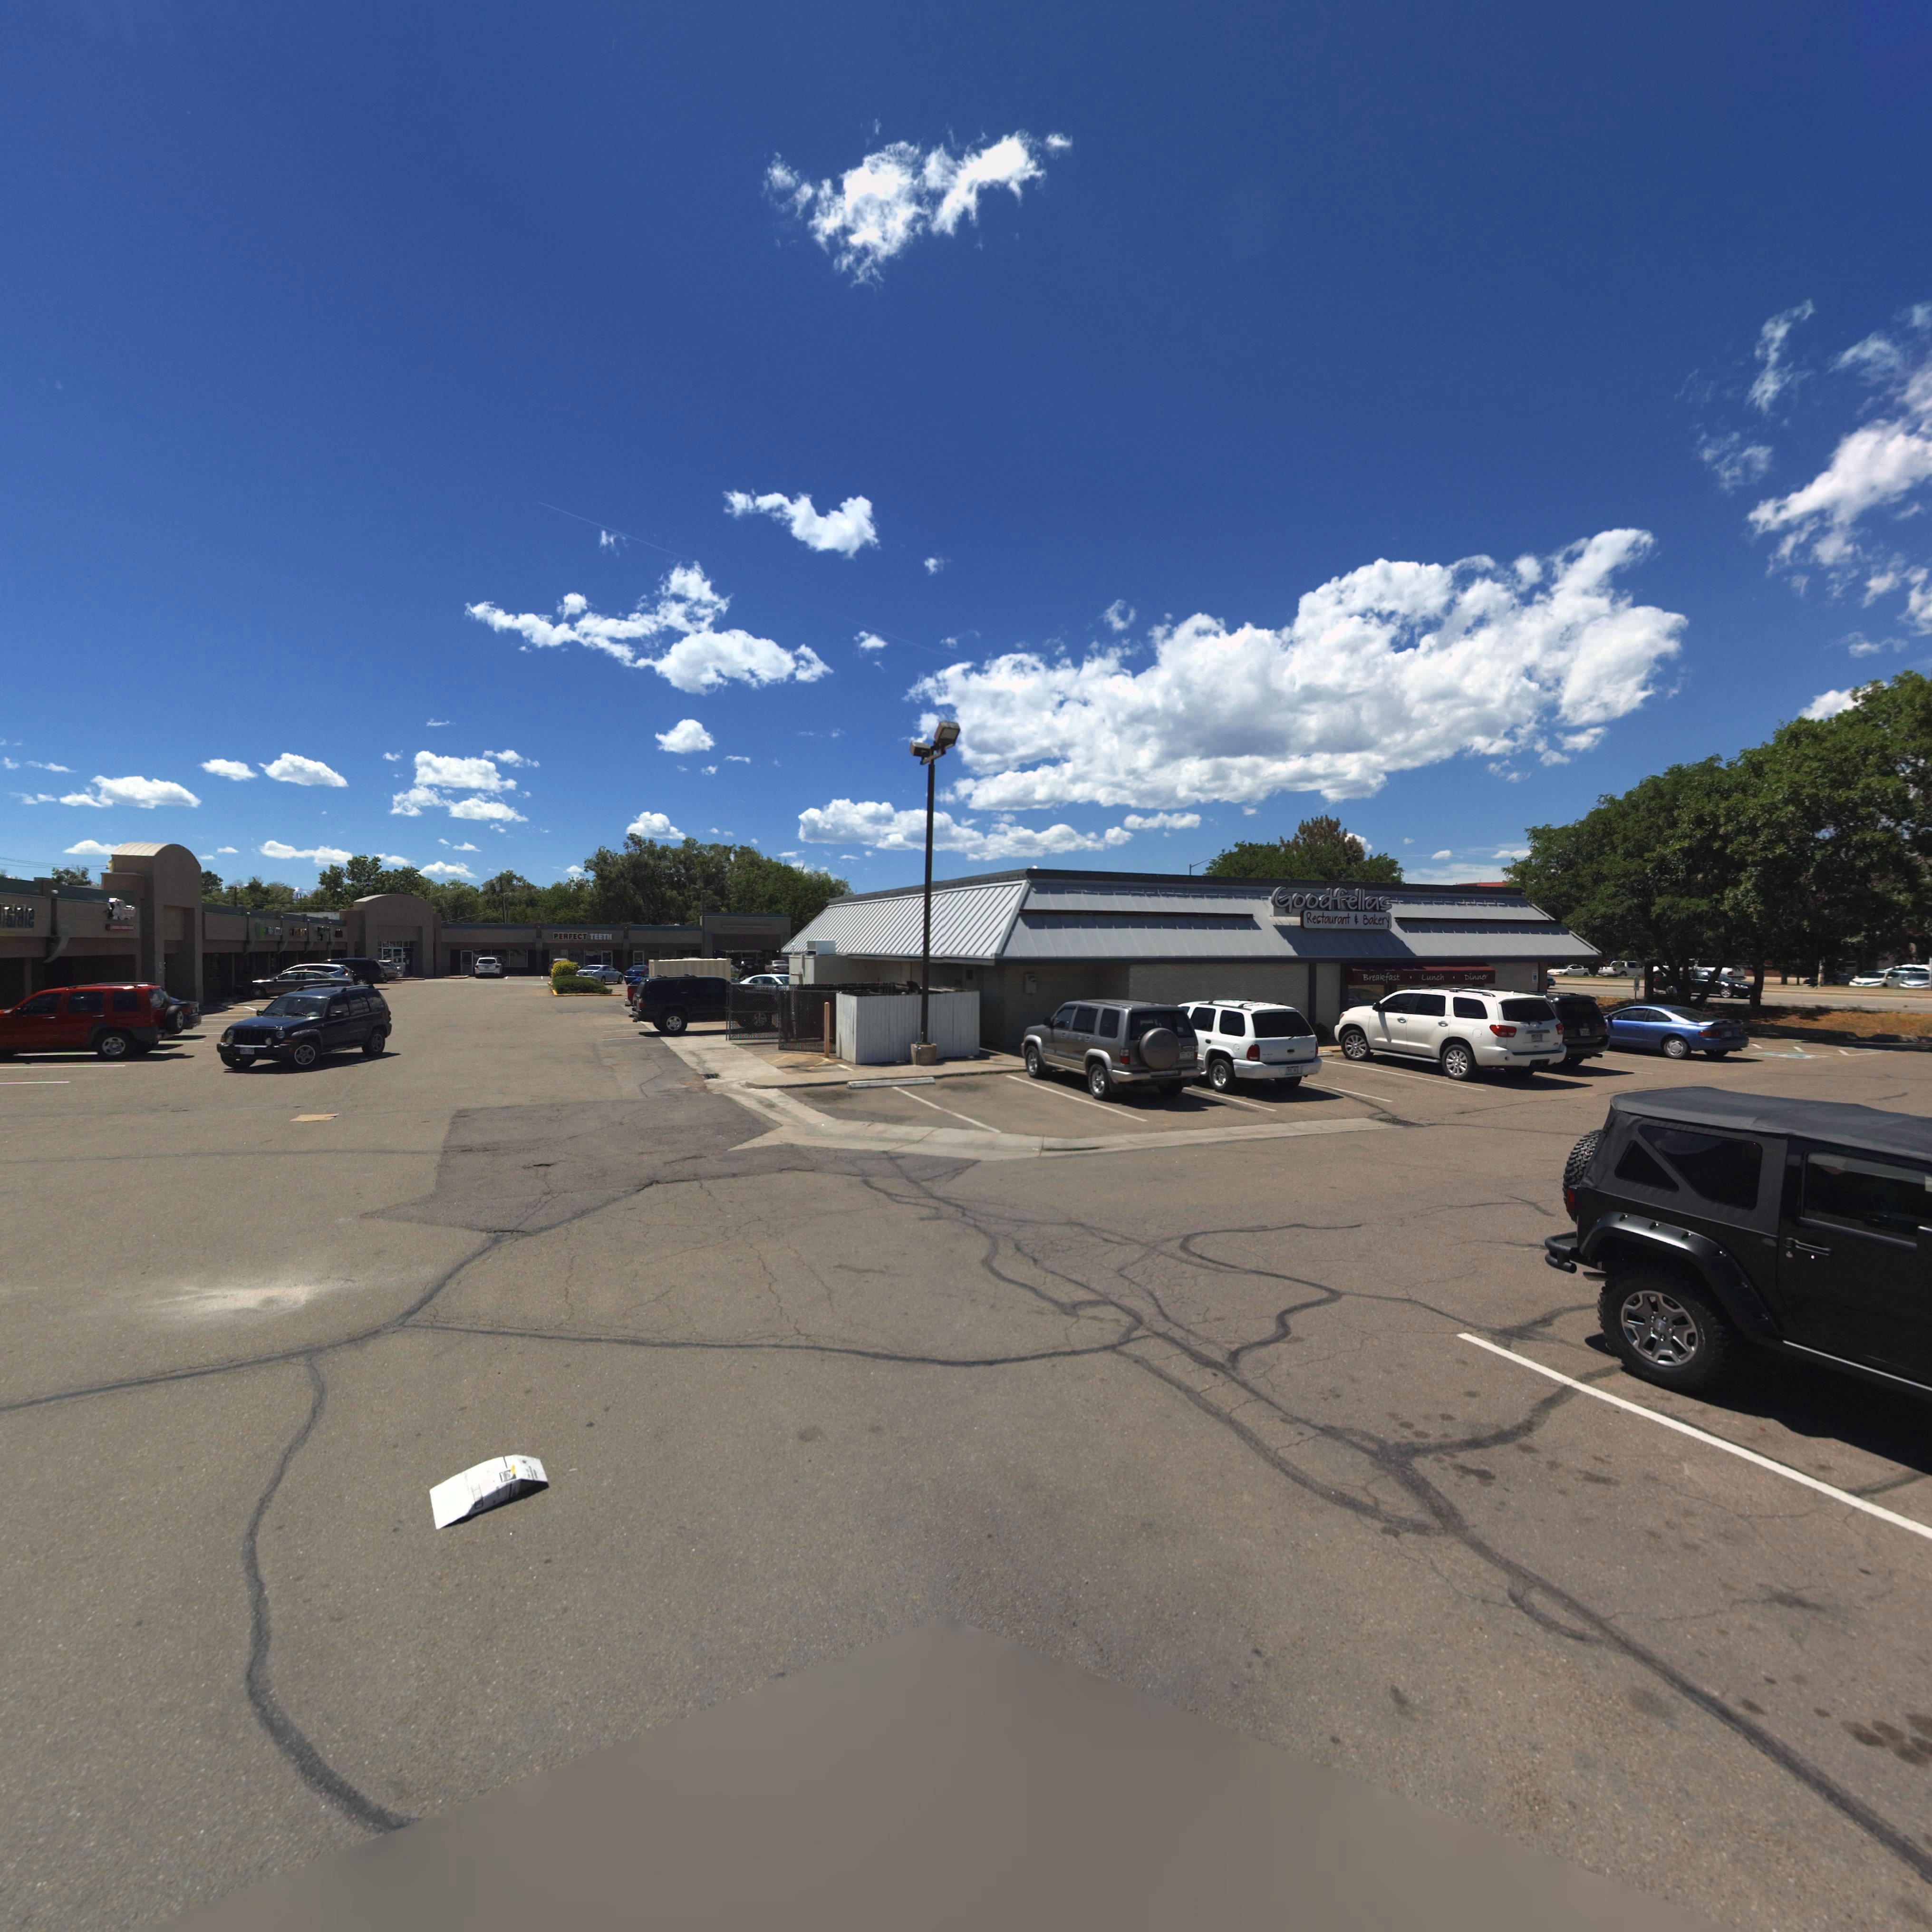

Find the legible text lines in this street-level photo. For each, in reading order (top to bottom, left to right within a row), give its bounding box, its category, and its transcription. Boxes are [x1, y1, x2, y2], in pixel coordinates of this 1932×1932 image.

[1270, 885, 1392, 914] BusinessName: Goodfellas
[5, 903, 35, 928] BusinessName: state
[1306, 911, 1390, 929] BusinessName: Restaurant & Bakery
[267, 926, 283, 935] BusinessName: H&R BLOCK
[553, 932, 612, 940] BusinessName: PERFECT TEETH